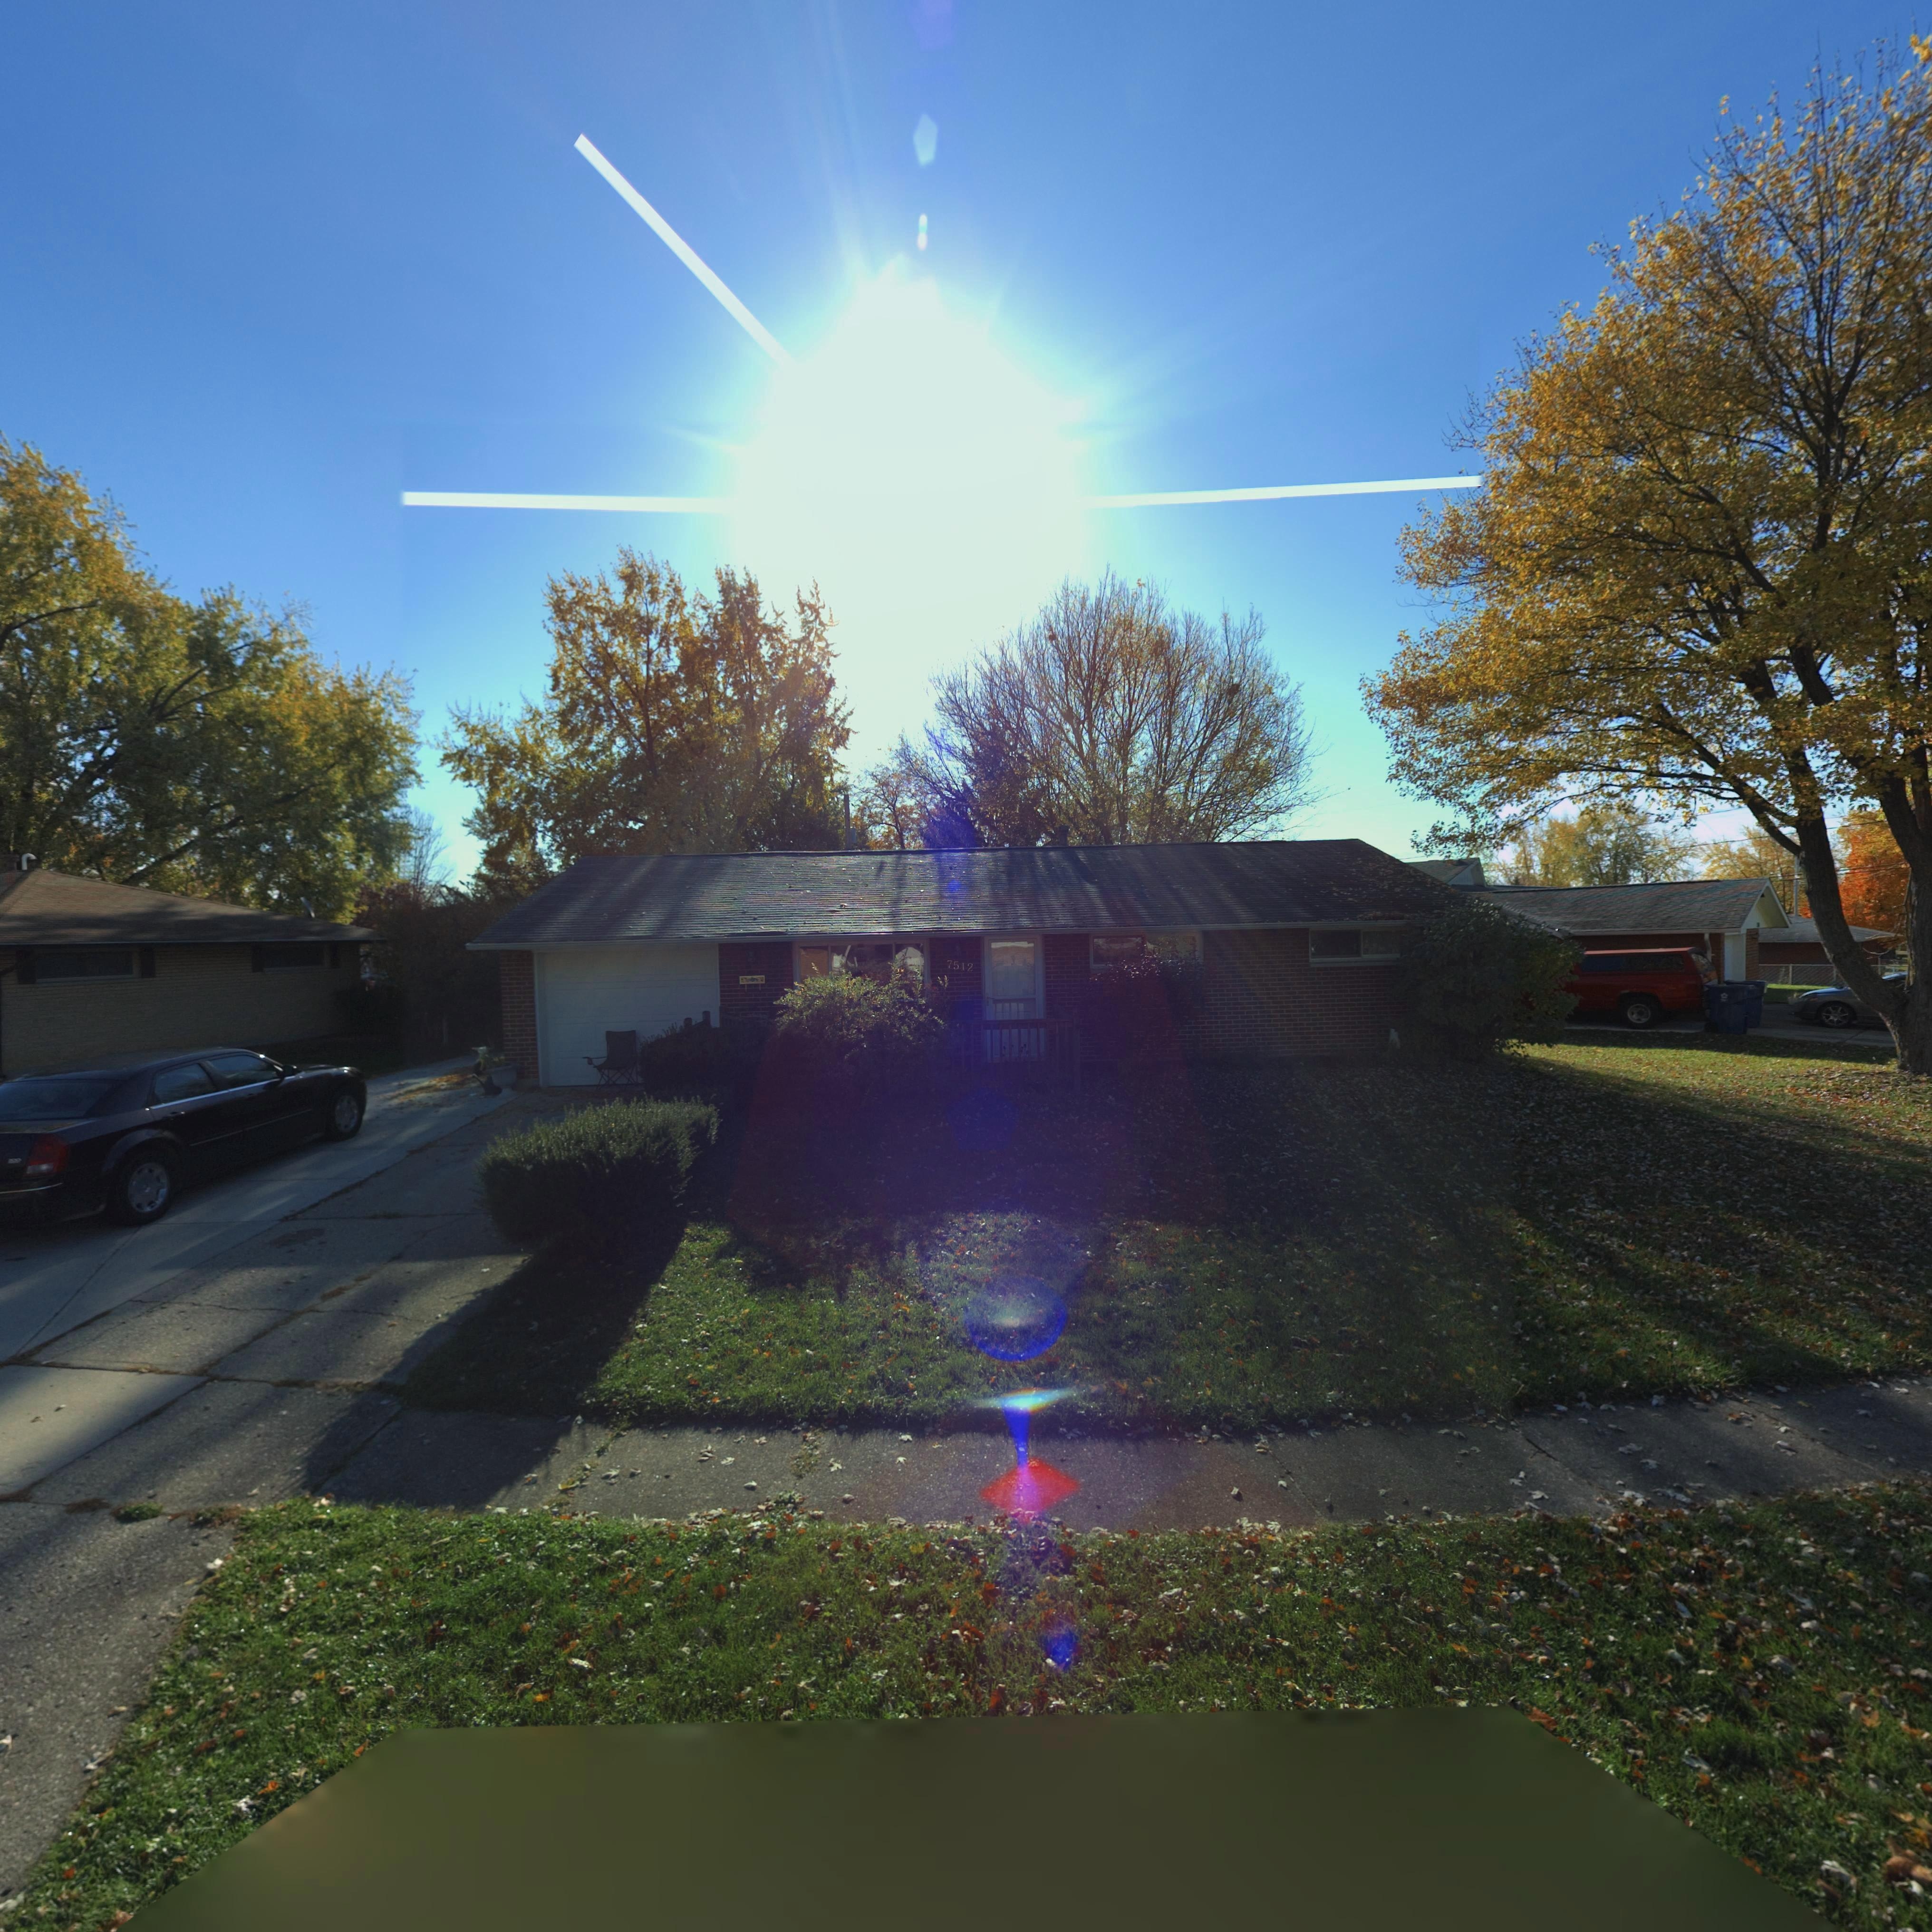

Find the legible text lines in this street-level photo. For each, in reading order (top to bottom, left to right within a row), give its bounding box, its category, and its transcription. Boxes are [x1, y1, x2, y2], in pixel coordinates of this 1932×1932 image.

[946, 959, 974, 973] StreetNumber: 7512